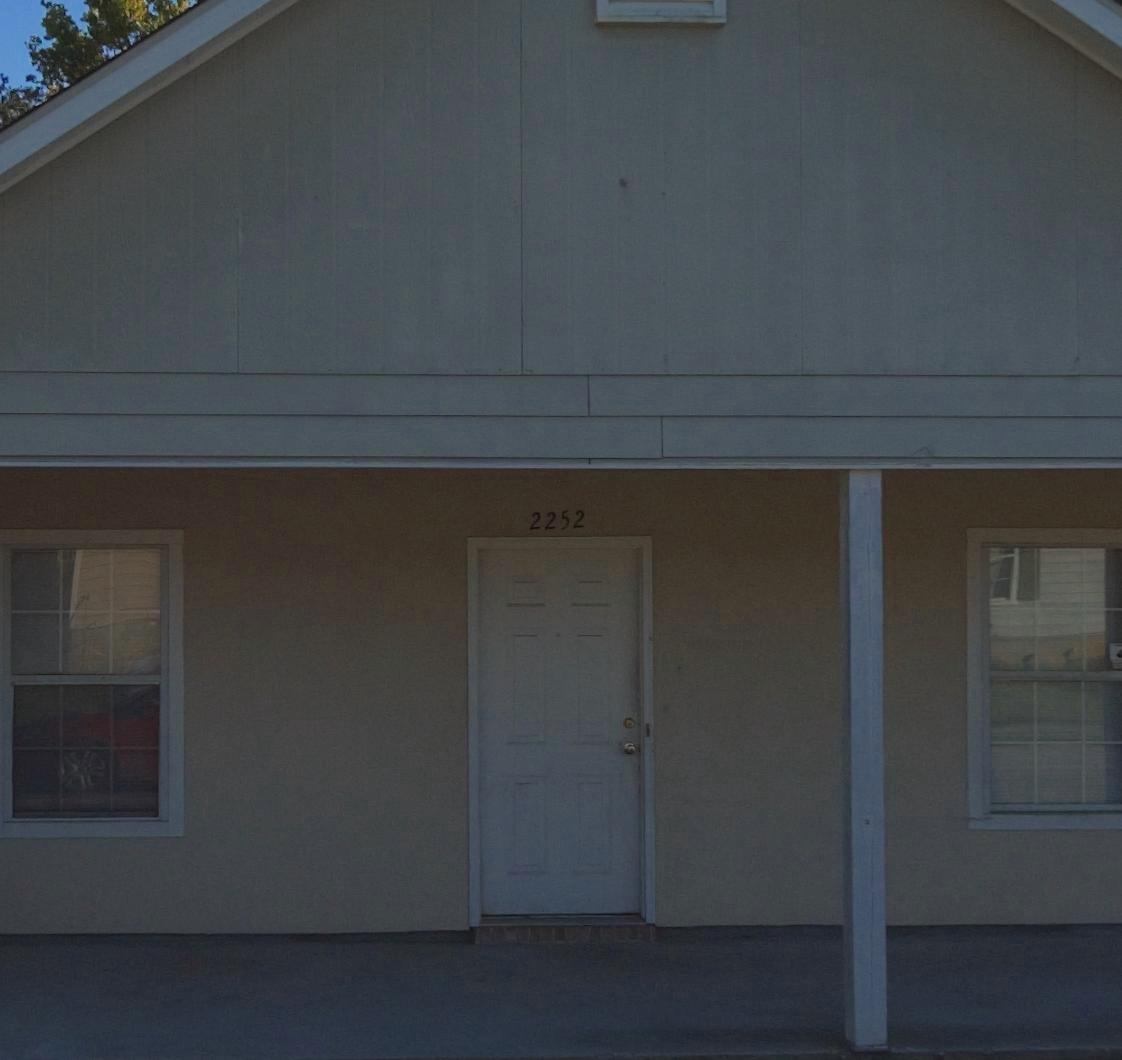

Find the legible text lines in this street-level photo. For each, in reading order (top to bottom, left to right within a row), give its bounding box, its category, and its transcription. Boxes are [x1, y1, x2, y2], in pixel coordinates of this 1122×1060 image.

[528, 508, 587, 532] StreetNumber: 2252